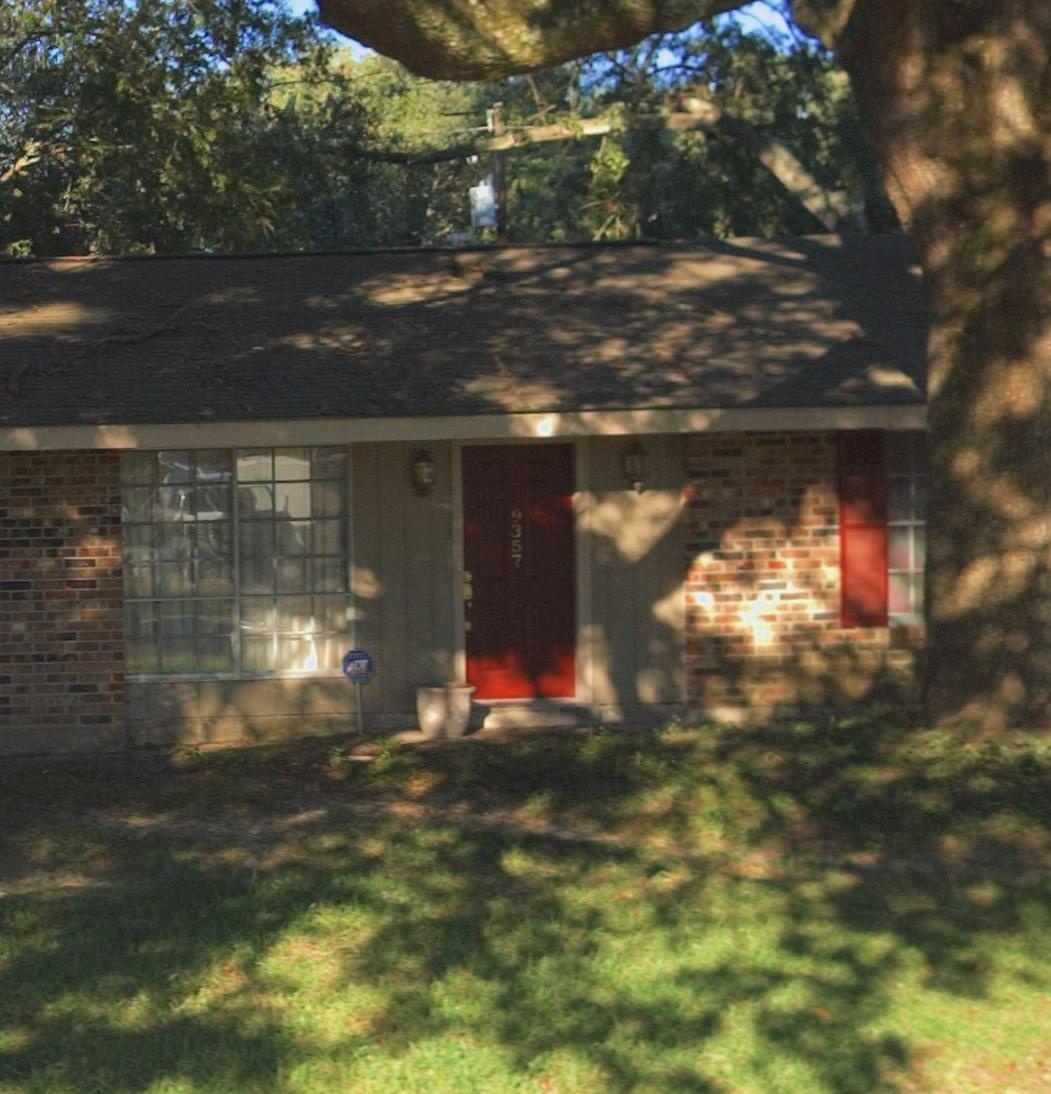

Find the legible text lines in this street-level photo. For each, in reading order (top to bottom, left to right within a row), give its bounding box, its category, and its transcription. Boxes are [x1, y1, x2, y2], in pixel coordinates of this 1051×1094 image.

[509, 508, 523, 568] StreetNumber: 9357
[346, 659, 369, 672] None: ADT